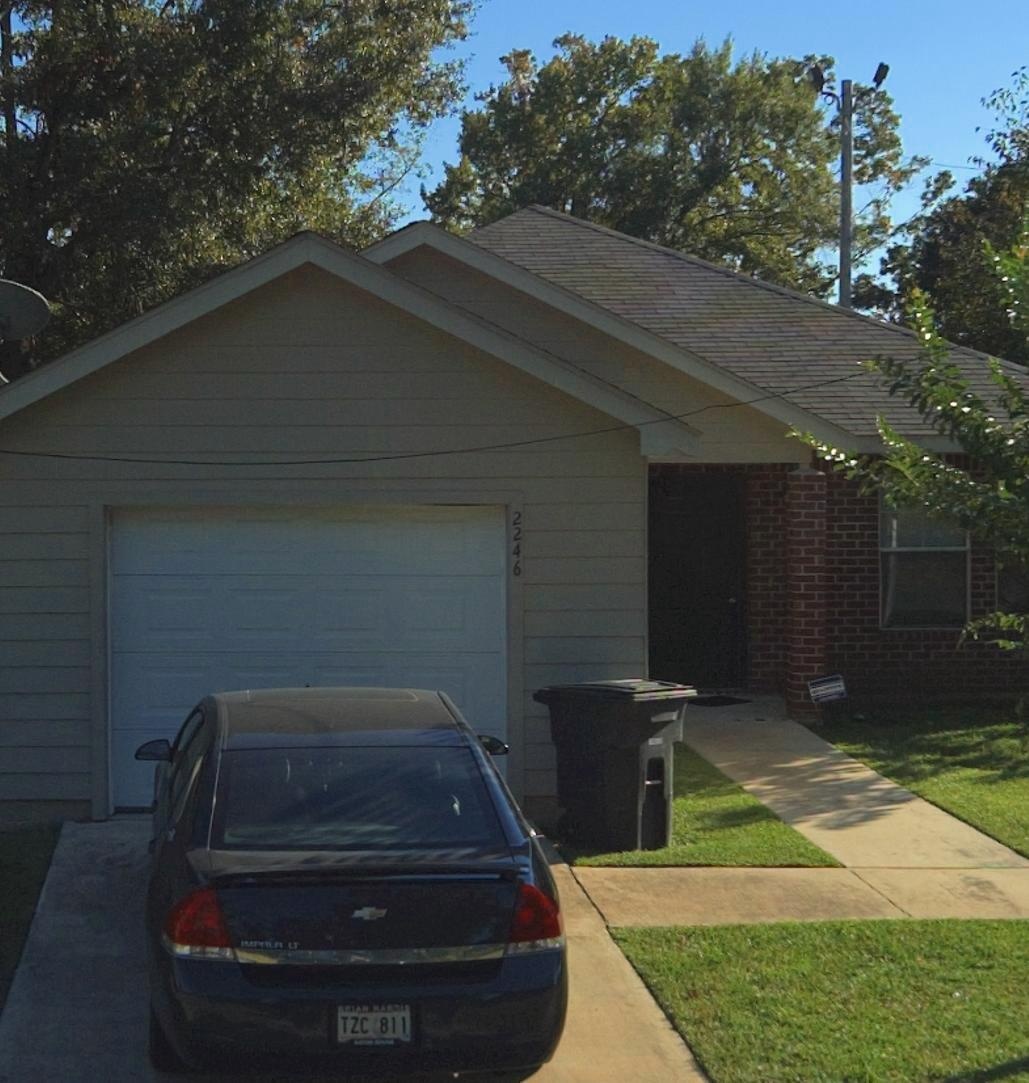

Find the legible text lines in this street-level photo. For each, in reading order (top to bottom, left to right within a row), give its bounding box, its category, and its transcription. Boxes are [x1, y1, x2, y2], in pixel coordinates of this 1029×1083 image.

[511, 509, 522, 579] StreetNumber: 2246
[339, 1014, 408, 1035] None: TZC*811